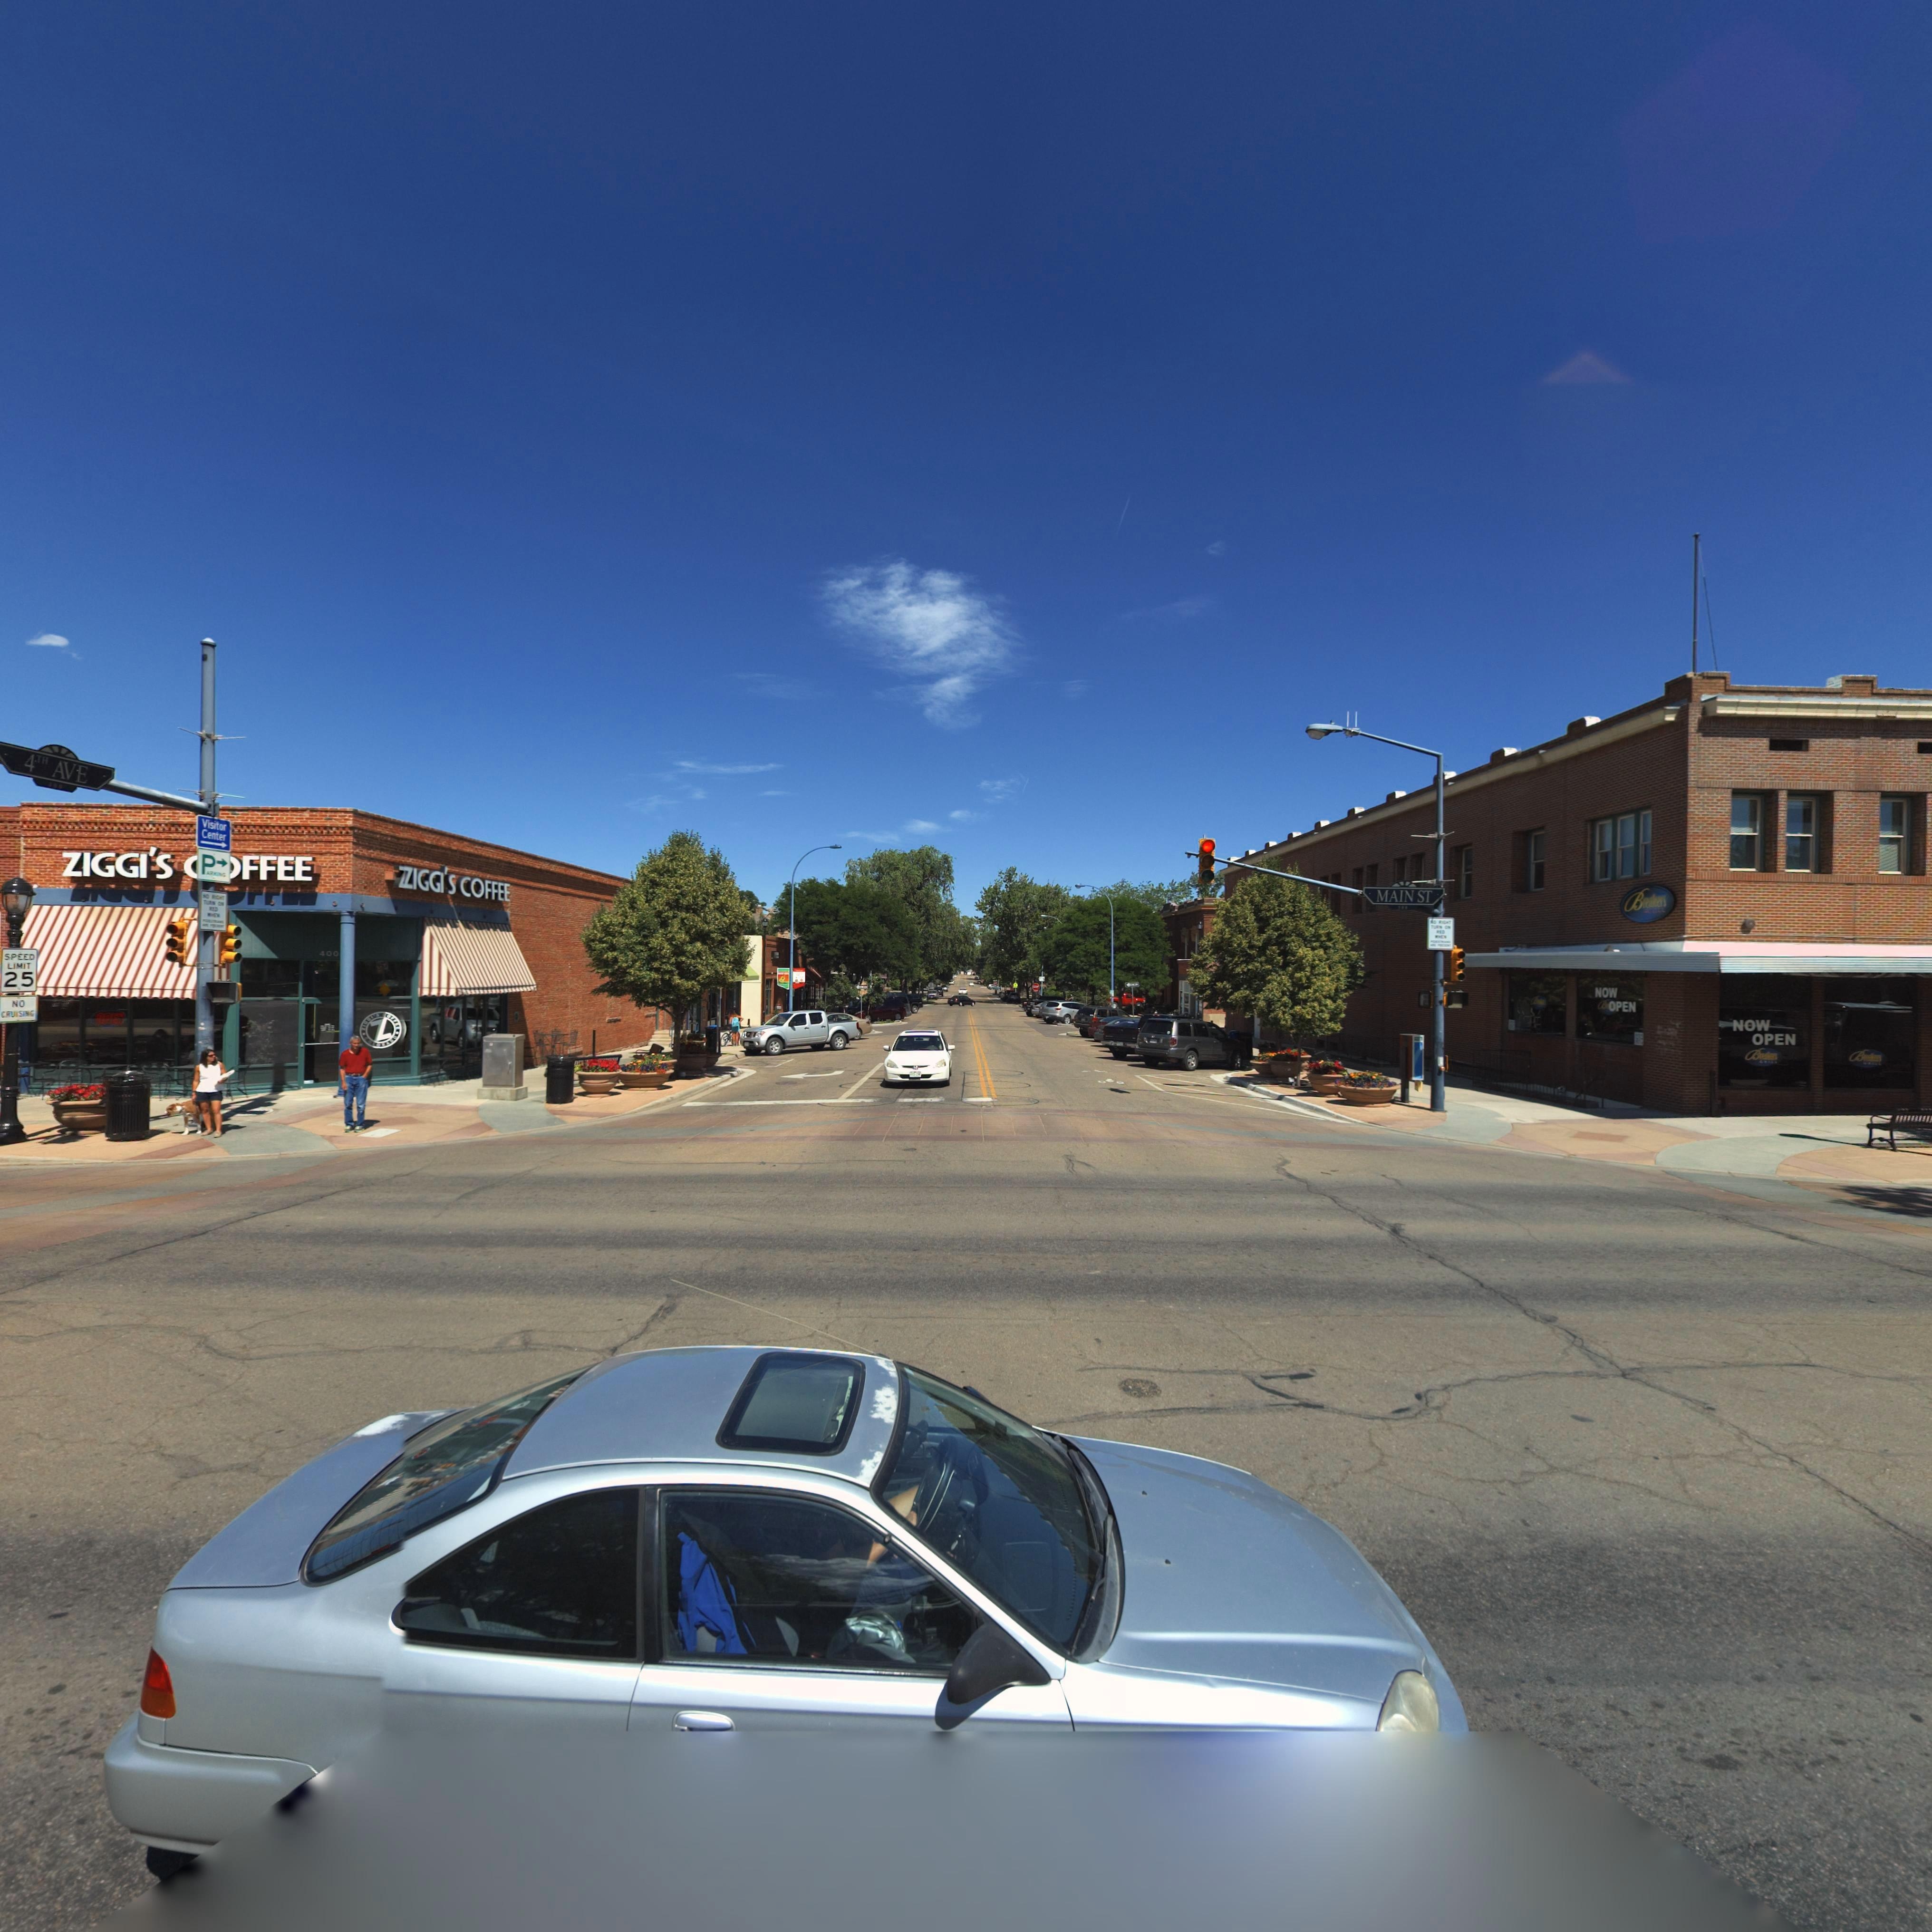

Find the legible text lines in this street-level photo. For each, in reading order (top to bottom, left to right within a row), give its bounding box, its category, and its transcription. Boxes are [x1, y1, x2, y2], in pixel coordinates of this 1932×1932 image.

[23, 753, 88, 784] StreetName: 4TH AVE
[47, 782, 63, 790] StreetNumberRange: *00
[61, 845, 312, 881] BusinessName: ZIGGI'S **FFEE
[397, 864, 511, 902] BusinessName: *ZIGGI*S COFFEE
[1376, 889, 1433, 903] StreetName: MAIN ST
[1631, 891, 1667, 910] BusinessName: Breakers
[1397, 905, 1408, 909] StreetNumberRange: *00
[1643, 908, 1665, 914] BusinessName: GRILL
[319, 950, 338, 956] StreetNumber: 400
[1601, 1000, 1607, 1010] BusinessName: B
[1751, 1049, 1778, 1060] BusinessName: Bre*kers
[1855, 1050, 1882, 1062] BusinessName: Breakers